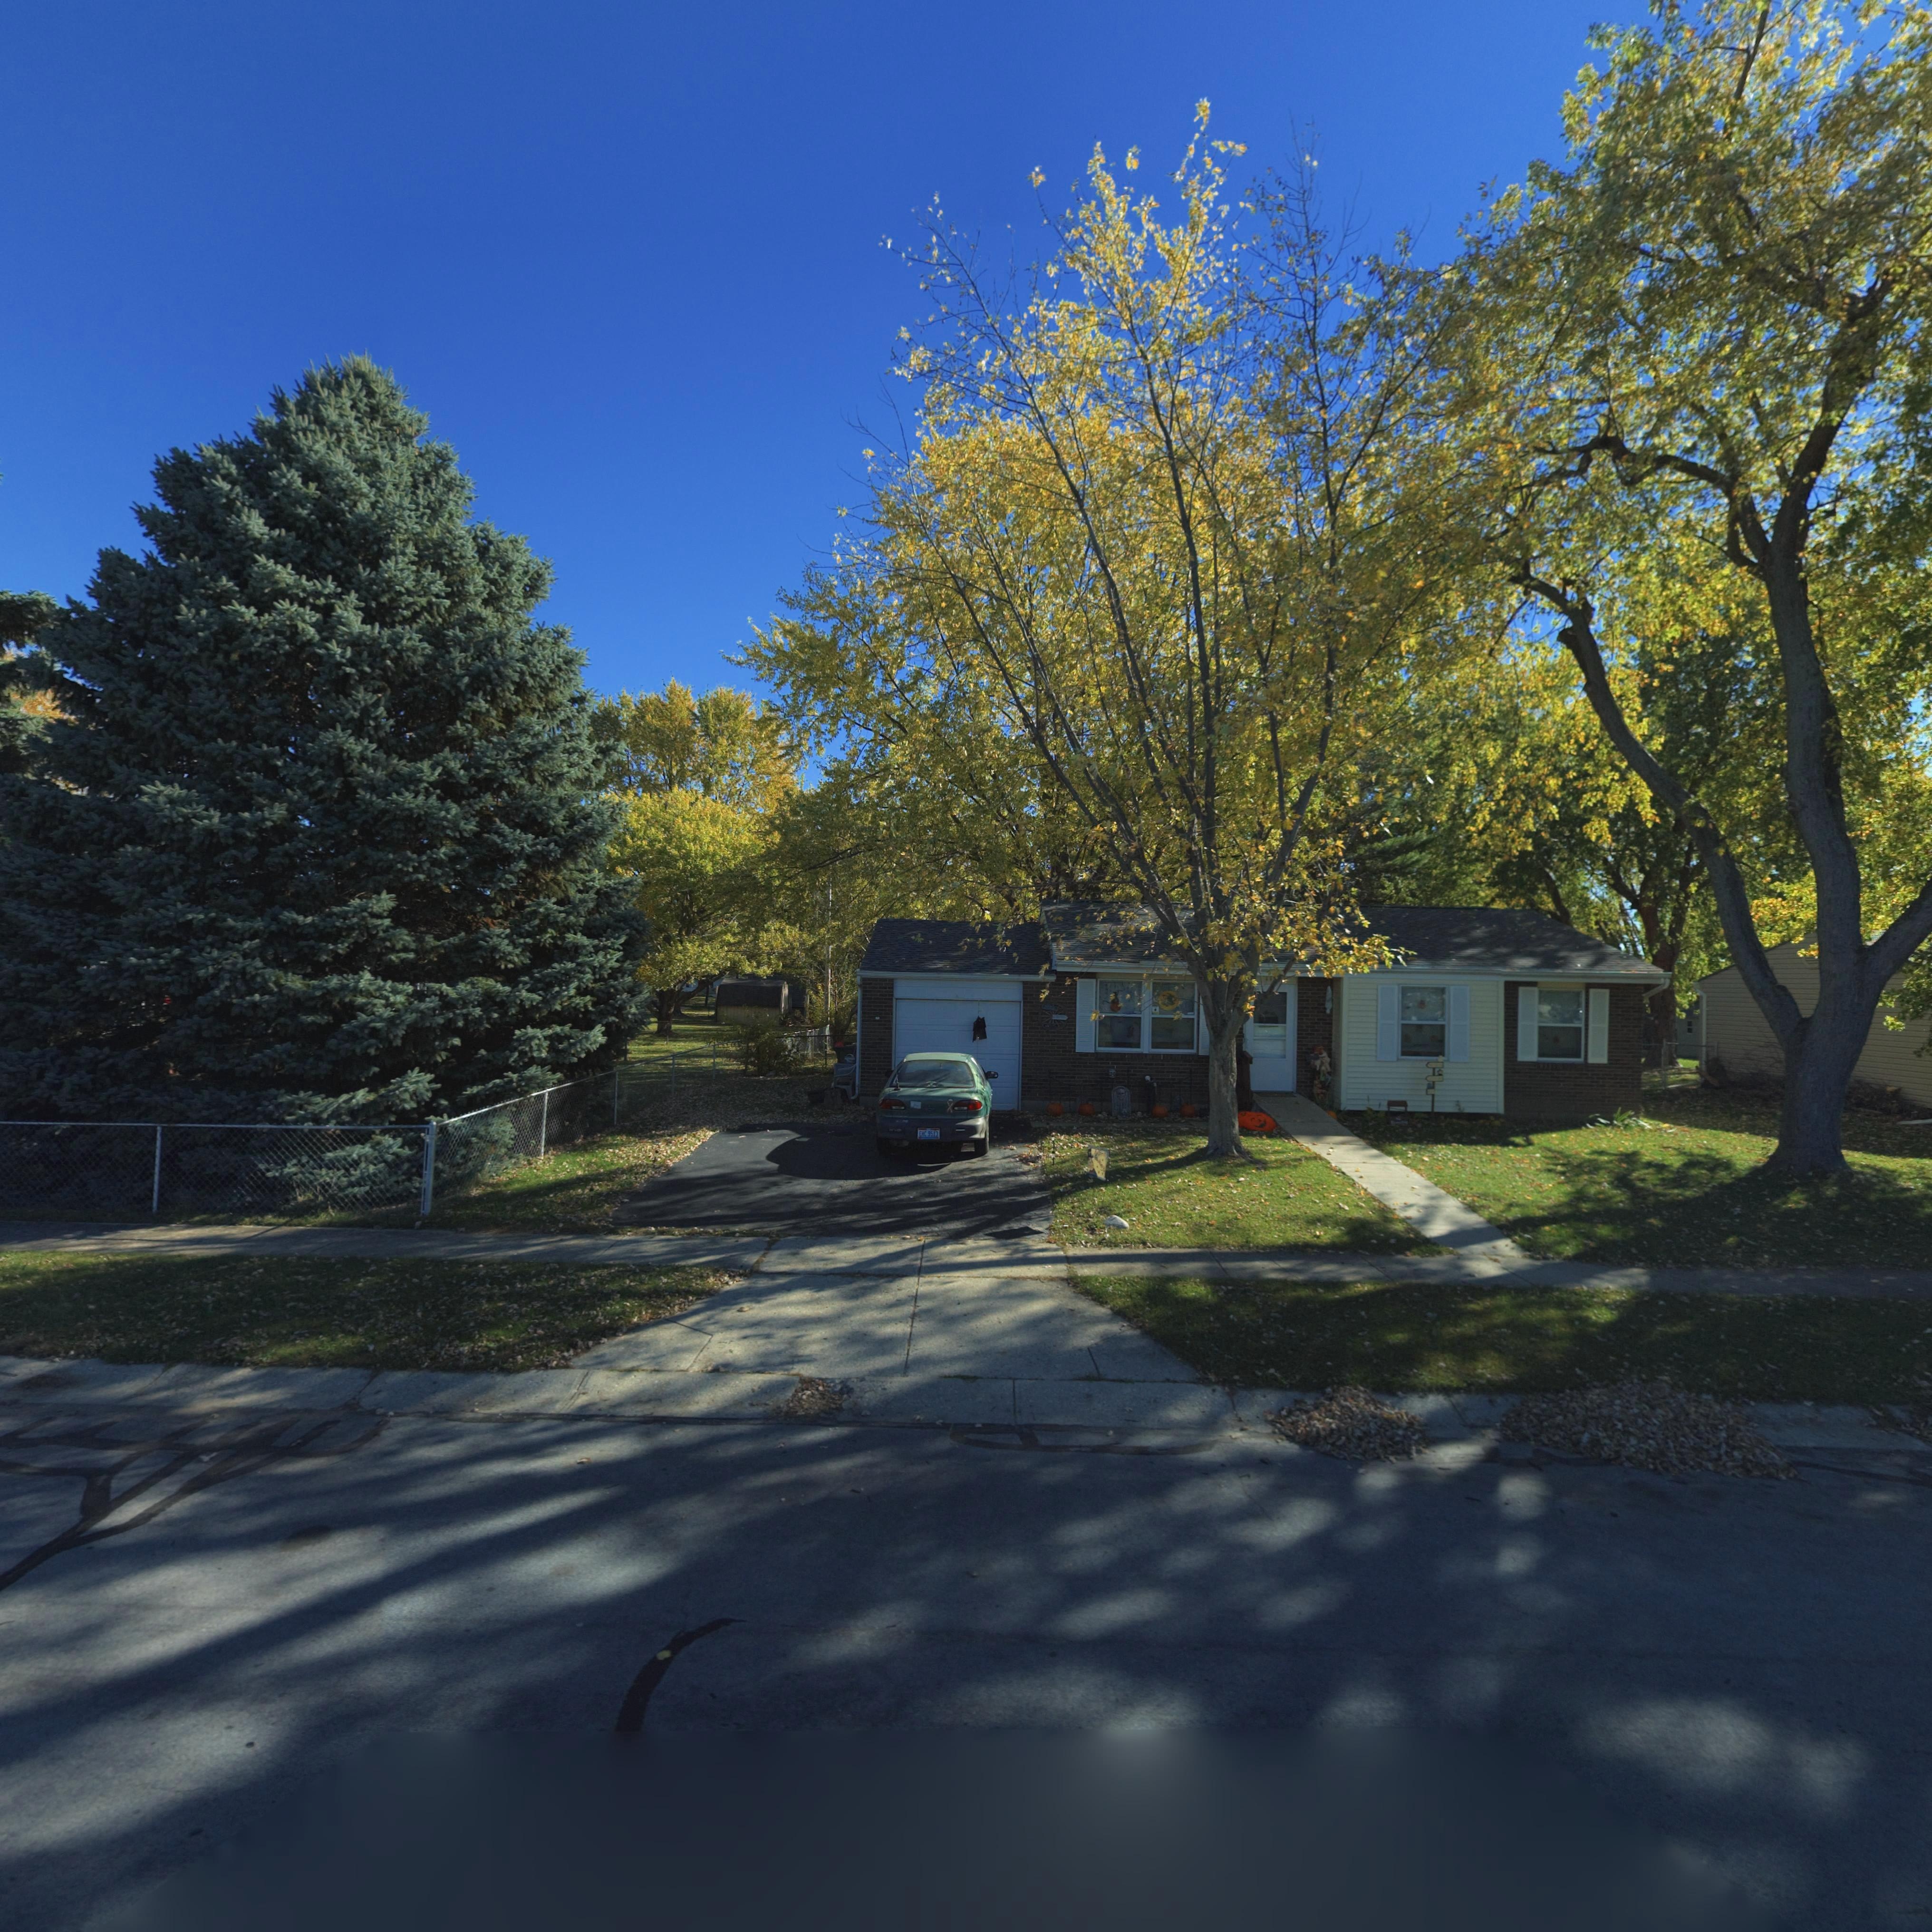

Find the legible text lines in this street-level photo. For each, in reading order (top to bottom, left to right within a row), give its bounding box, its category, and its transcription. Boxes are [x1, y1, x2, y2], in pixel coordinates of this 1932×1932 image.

[1265, 976, 1272, 981] StreetNumber: 11
[918, 1130, 938, 1137] None: E*C 9513